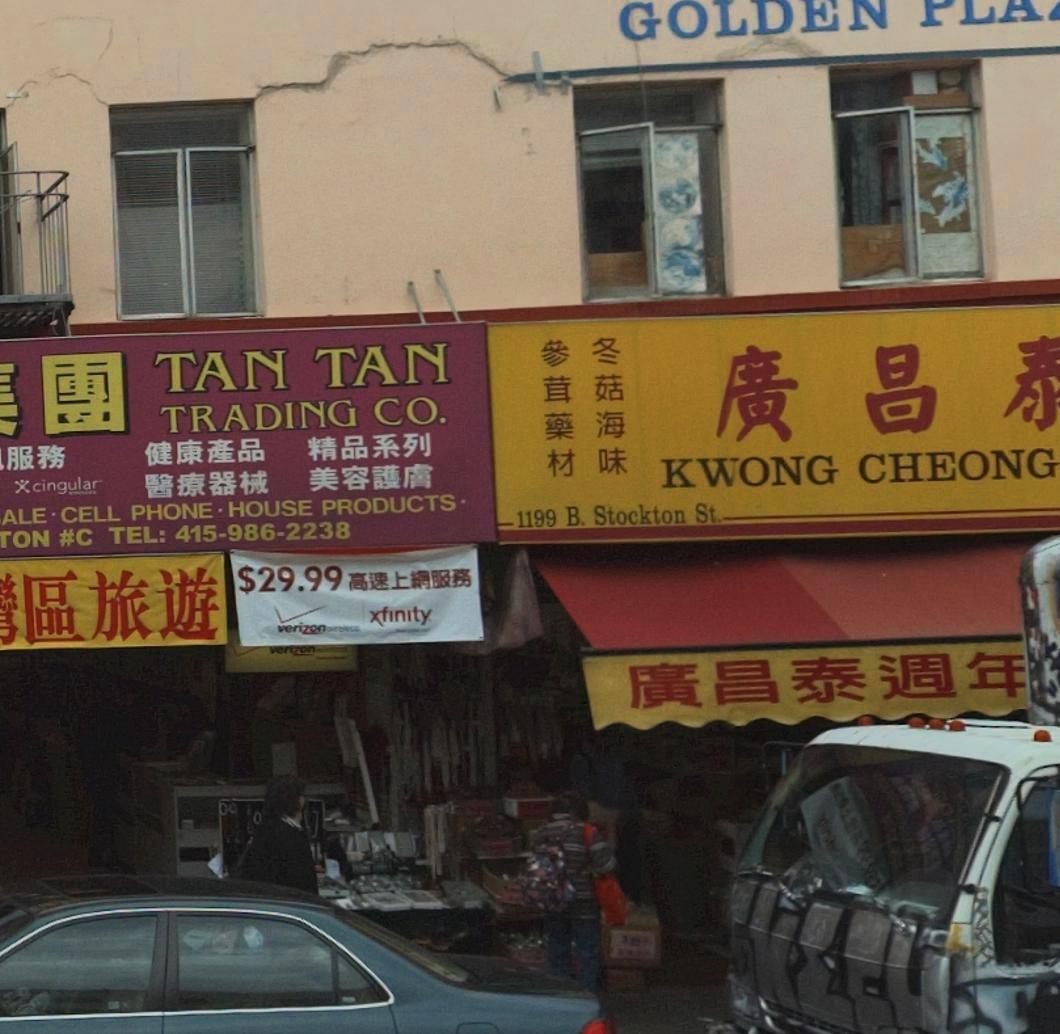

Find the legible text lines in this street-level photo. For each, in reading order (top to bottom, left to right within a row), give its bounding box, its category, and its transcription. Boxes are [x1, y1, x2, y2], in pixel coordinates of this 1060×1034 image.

[612, 0, 720, 44] None: GO
[150, 335, 456, 395] BusinessName: TAN TAN
[155, 391, 454, 438] BusinessName: TRADING CO.
[30, 471, 108, 498] None: cingular
[656, 444, 1060, 491] BusinessName: KWONG CHEONG
[9, 516, 358, 554] None: ON #C TEL: 415-986-2238
[0, 490, 460, 529] None: ALE*CELL PHONE*HOUSE PRODUCTS
[514, 504, 586, 531] StreetNumber: 1199 B.
[589, 500, 729, 530] StreetName: Stockton St.
[232, 560, 350, 599] None: $29.99
[366, 601, 440, 633] None: xfinity